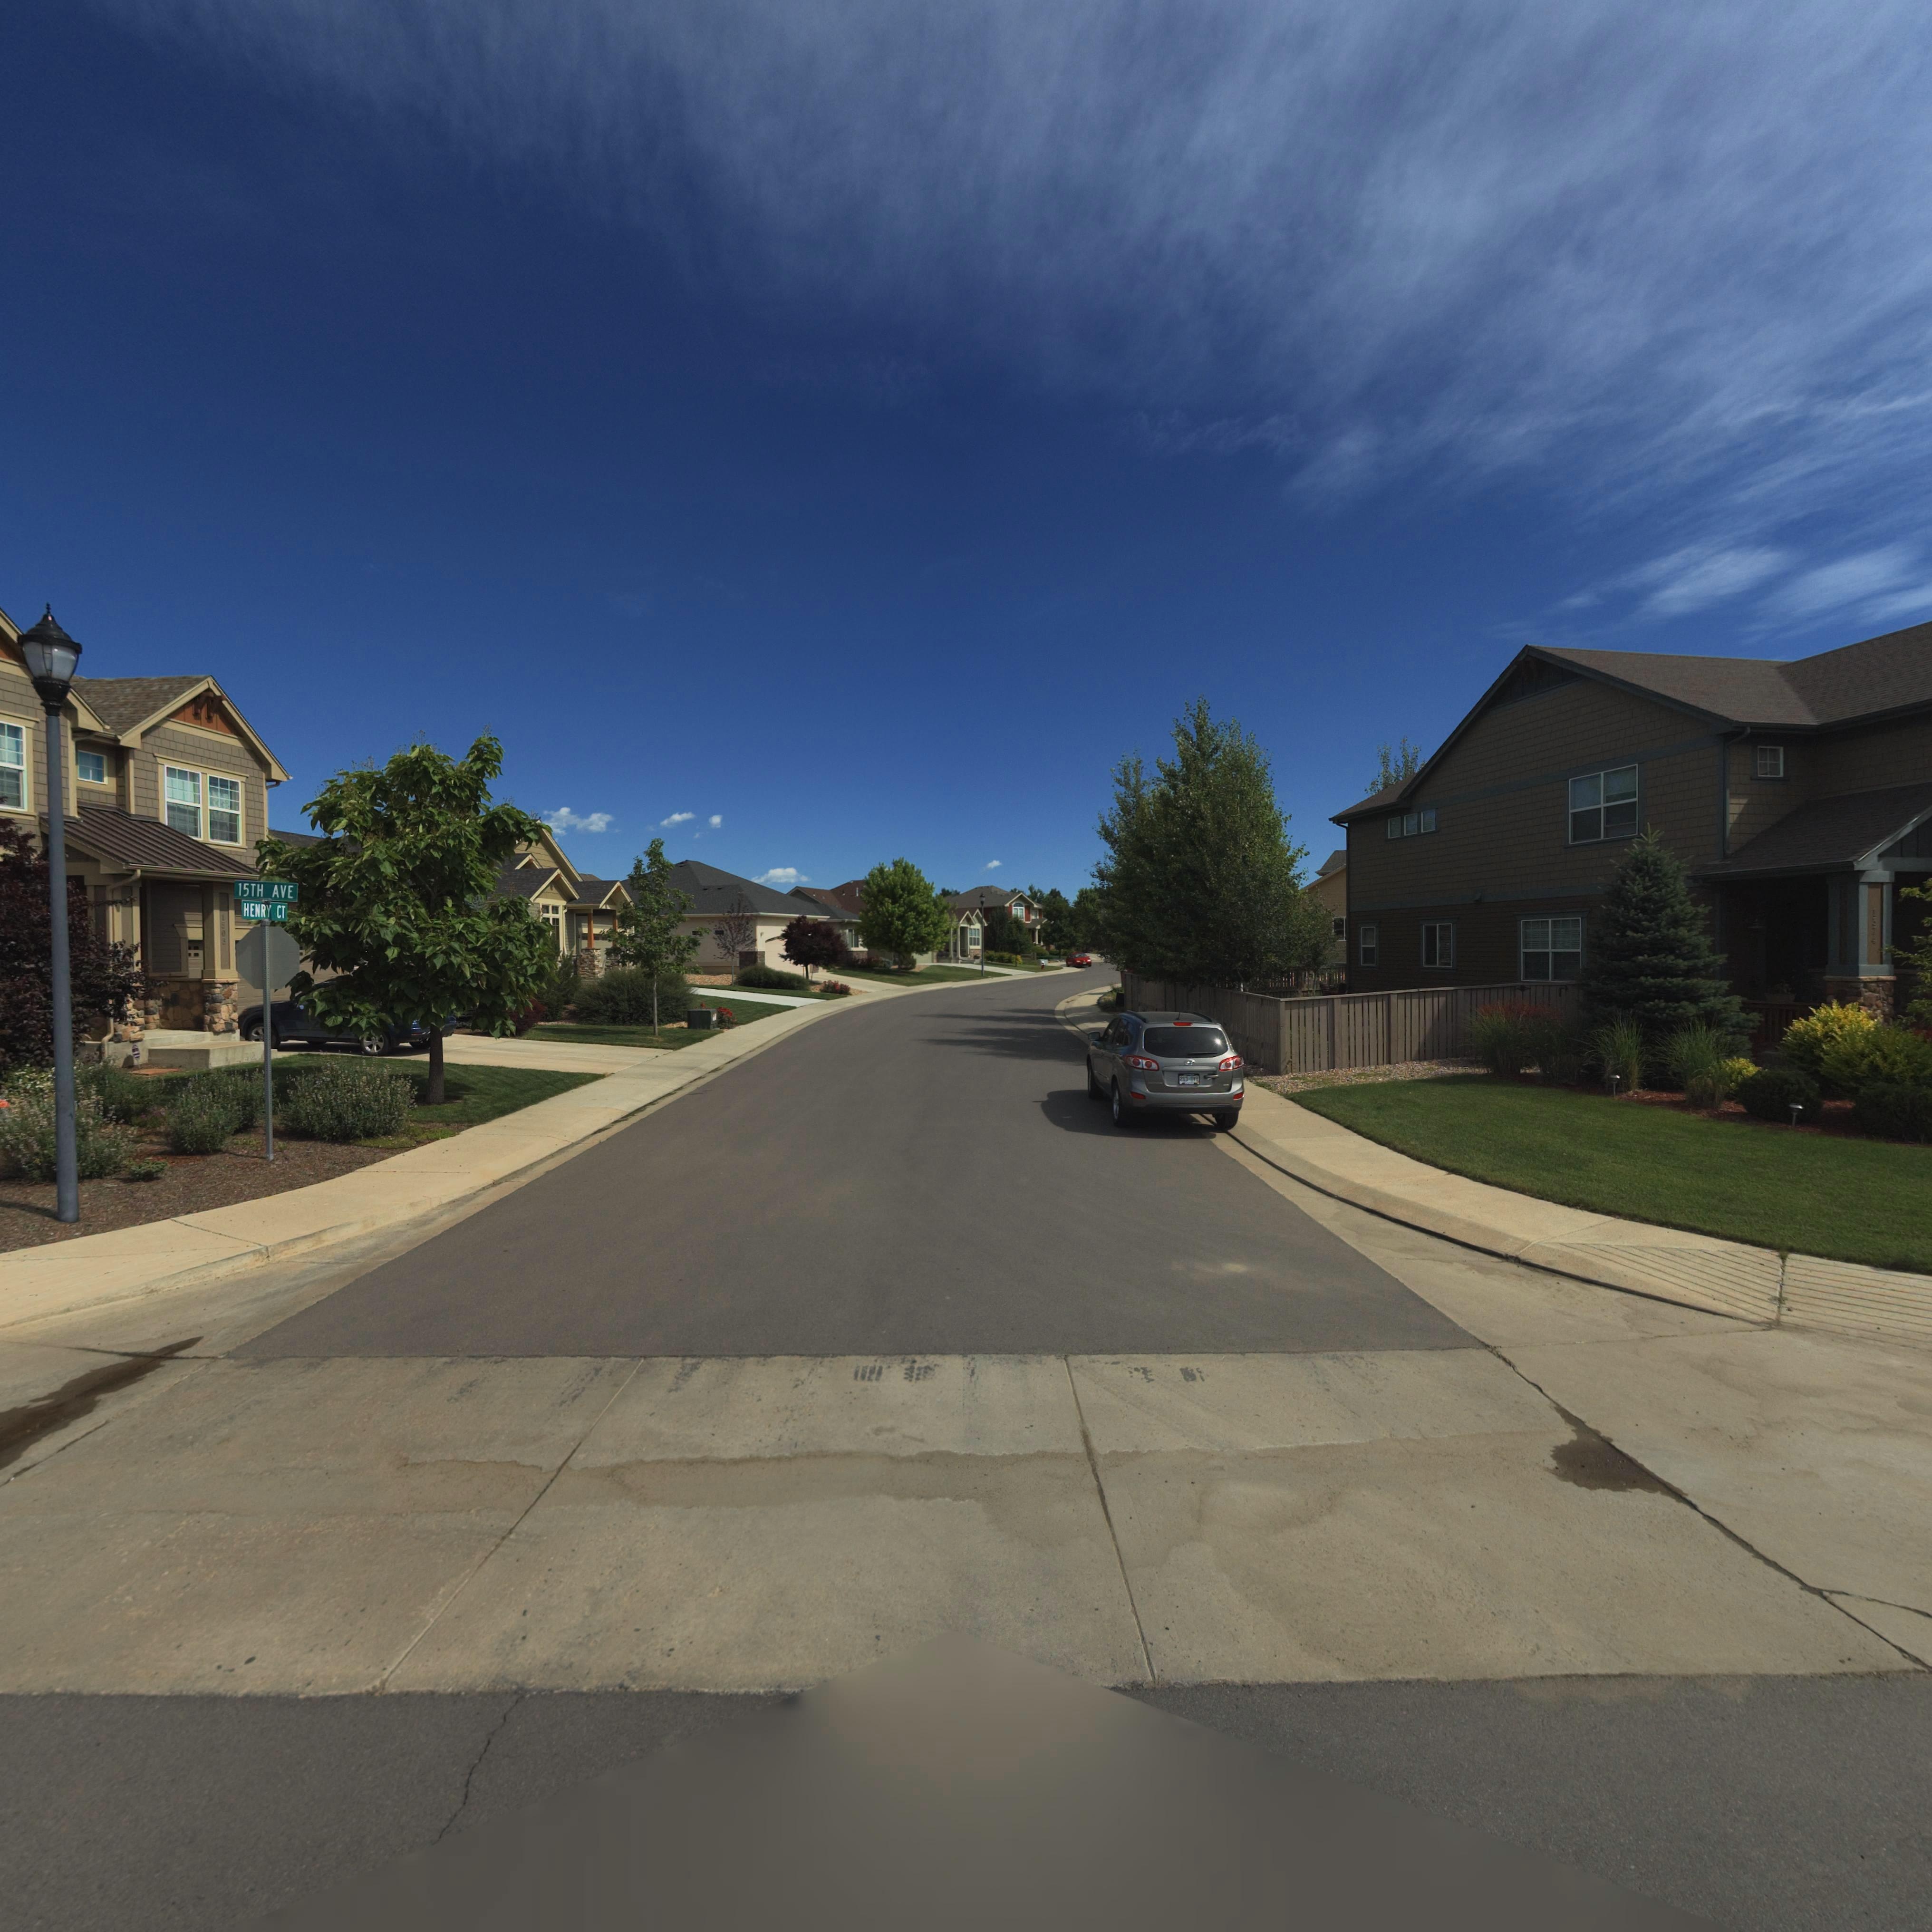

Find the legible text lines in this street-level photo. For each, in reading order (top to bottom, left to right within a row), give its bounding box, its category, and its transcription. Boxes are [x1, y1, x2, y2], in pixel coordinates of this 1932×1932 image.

[238, 882, 293, 899] StreetName: 15TH AVE
[221, 913, 226, 945] StreetNumber: 1503
[243, 902, 285, 918] StreetName: HENRY CT
[1870, 908, 1876, 944] StreetNumber: 1***